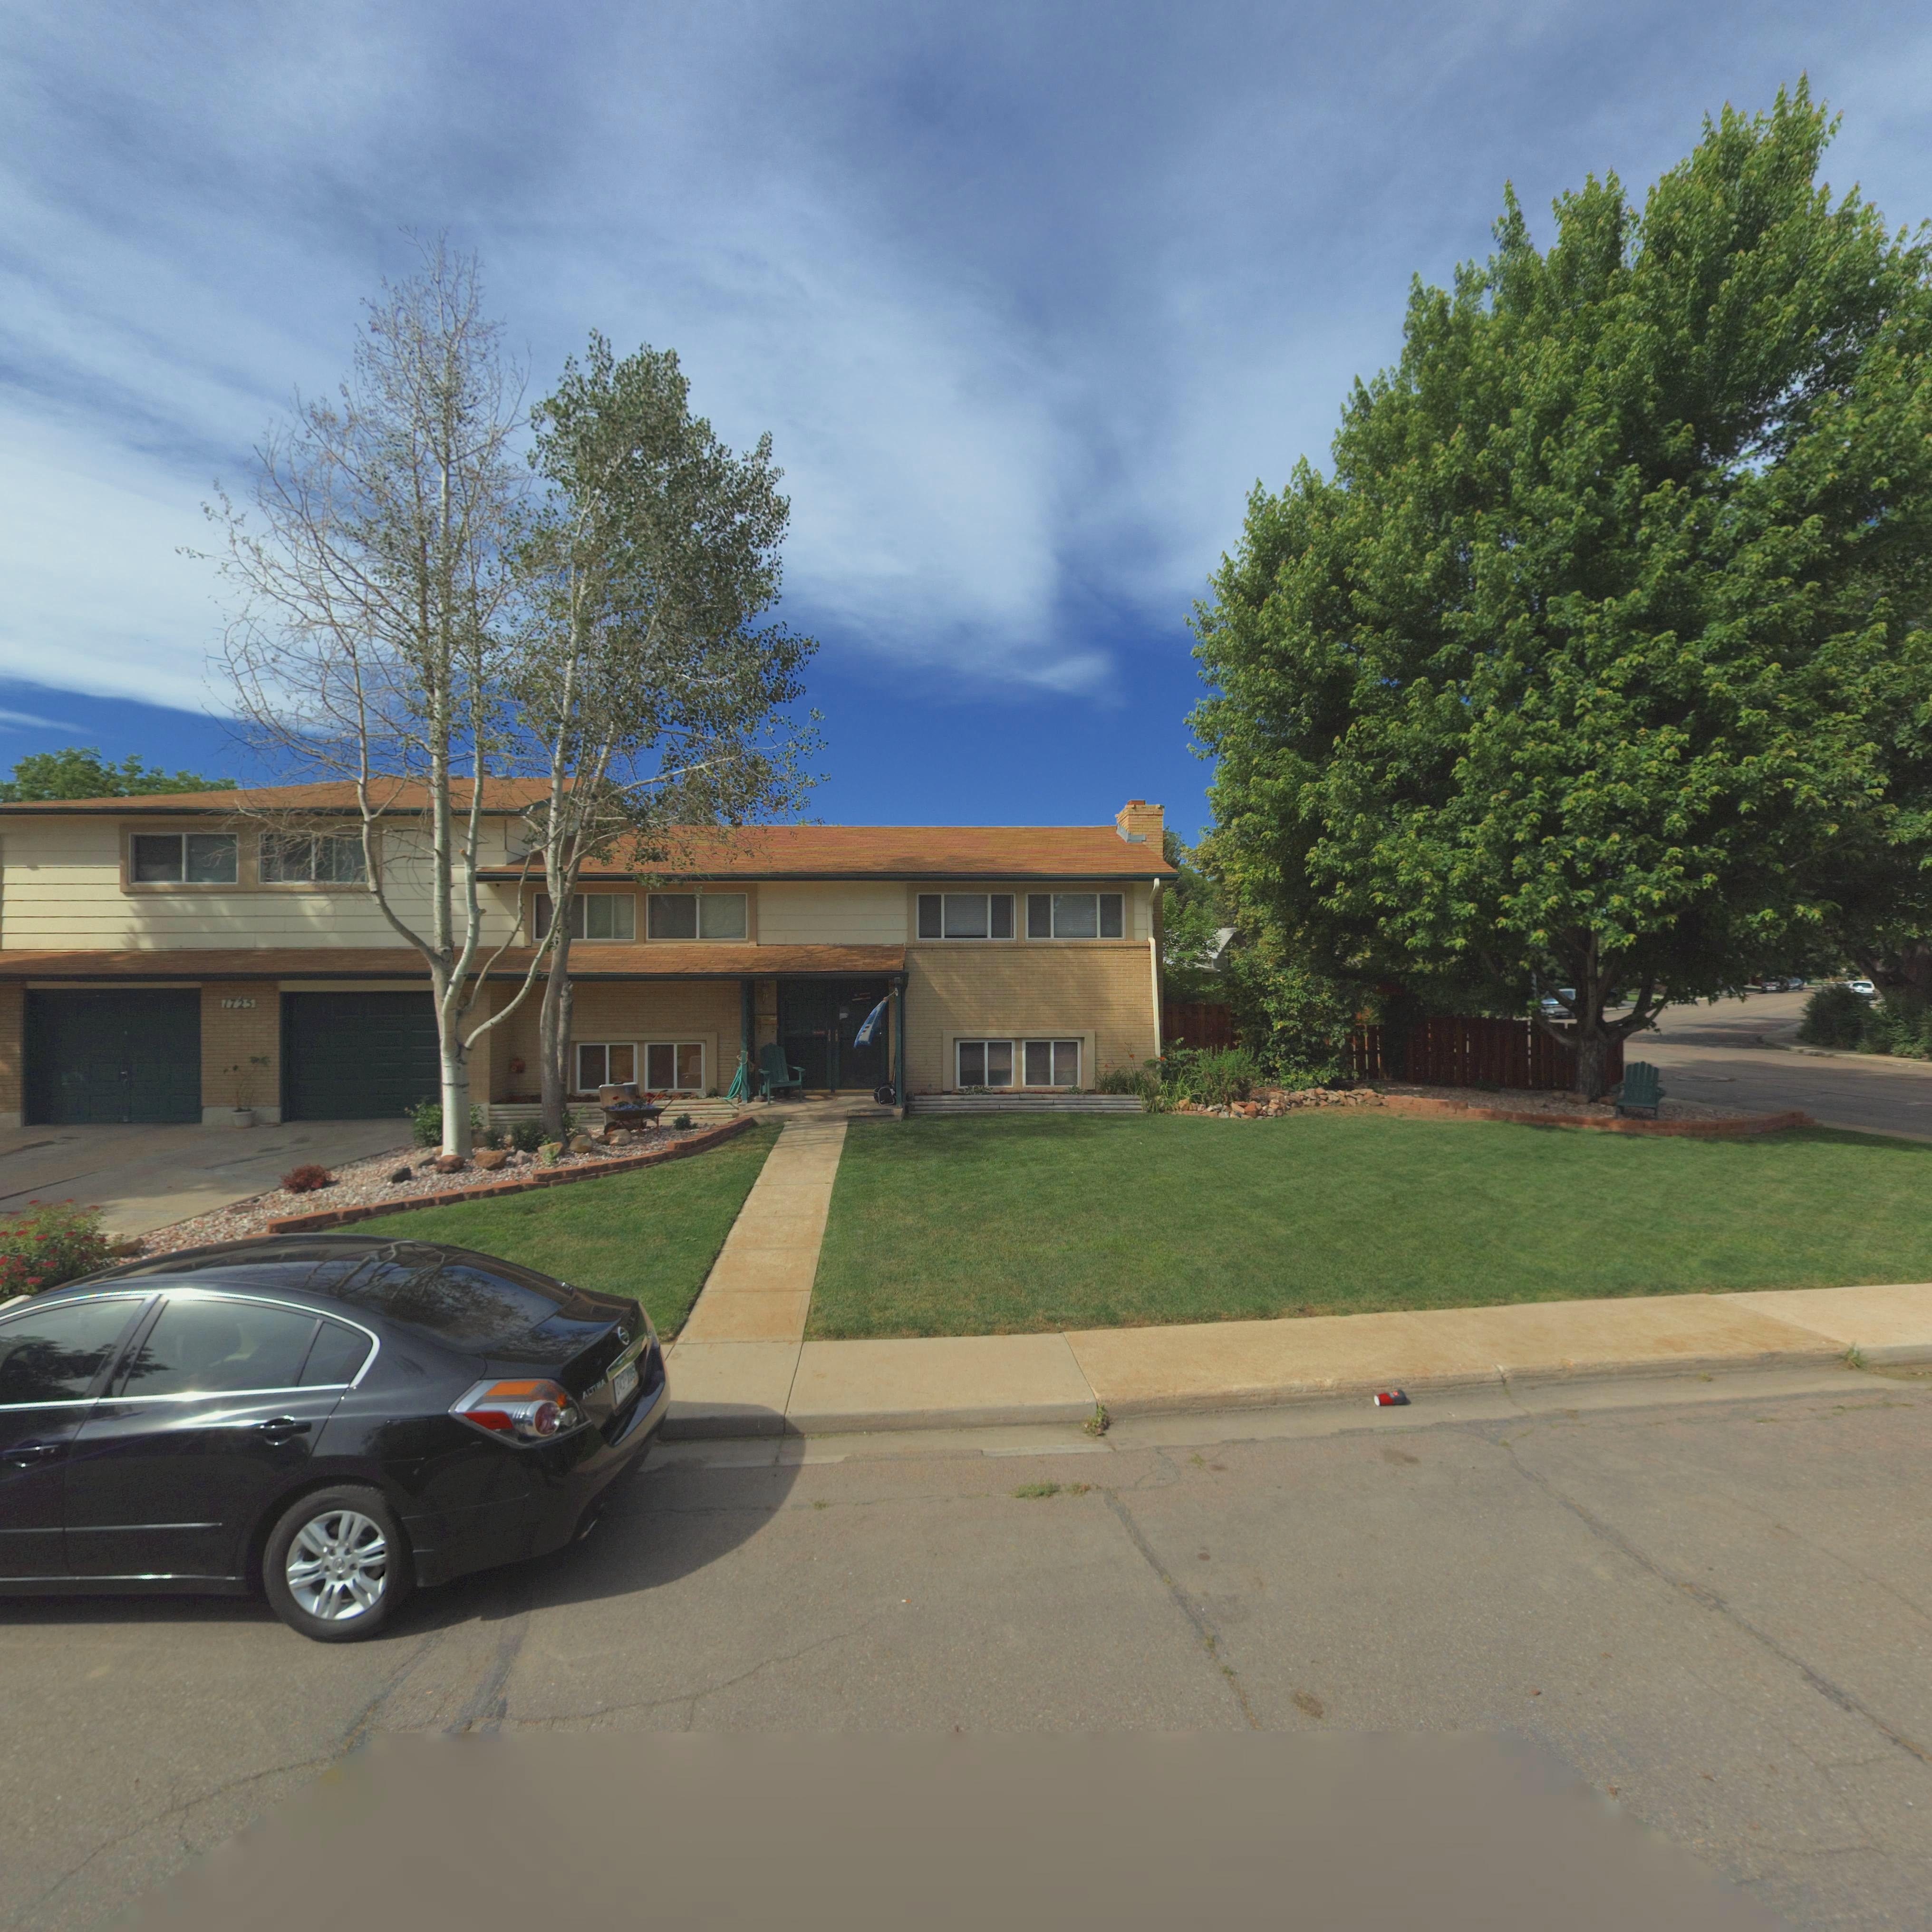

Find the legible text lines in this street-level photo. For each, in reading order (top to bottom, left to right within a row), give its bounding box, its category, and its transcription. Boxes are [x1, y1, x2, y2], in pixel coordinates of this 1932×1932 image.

[223, 999, 252, 1008] StreetNumber: 1725